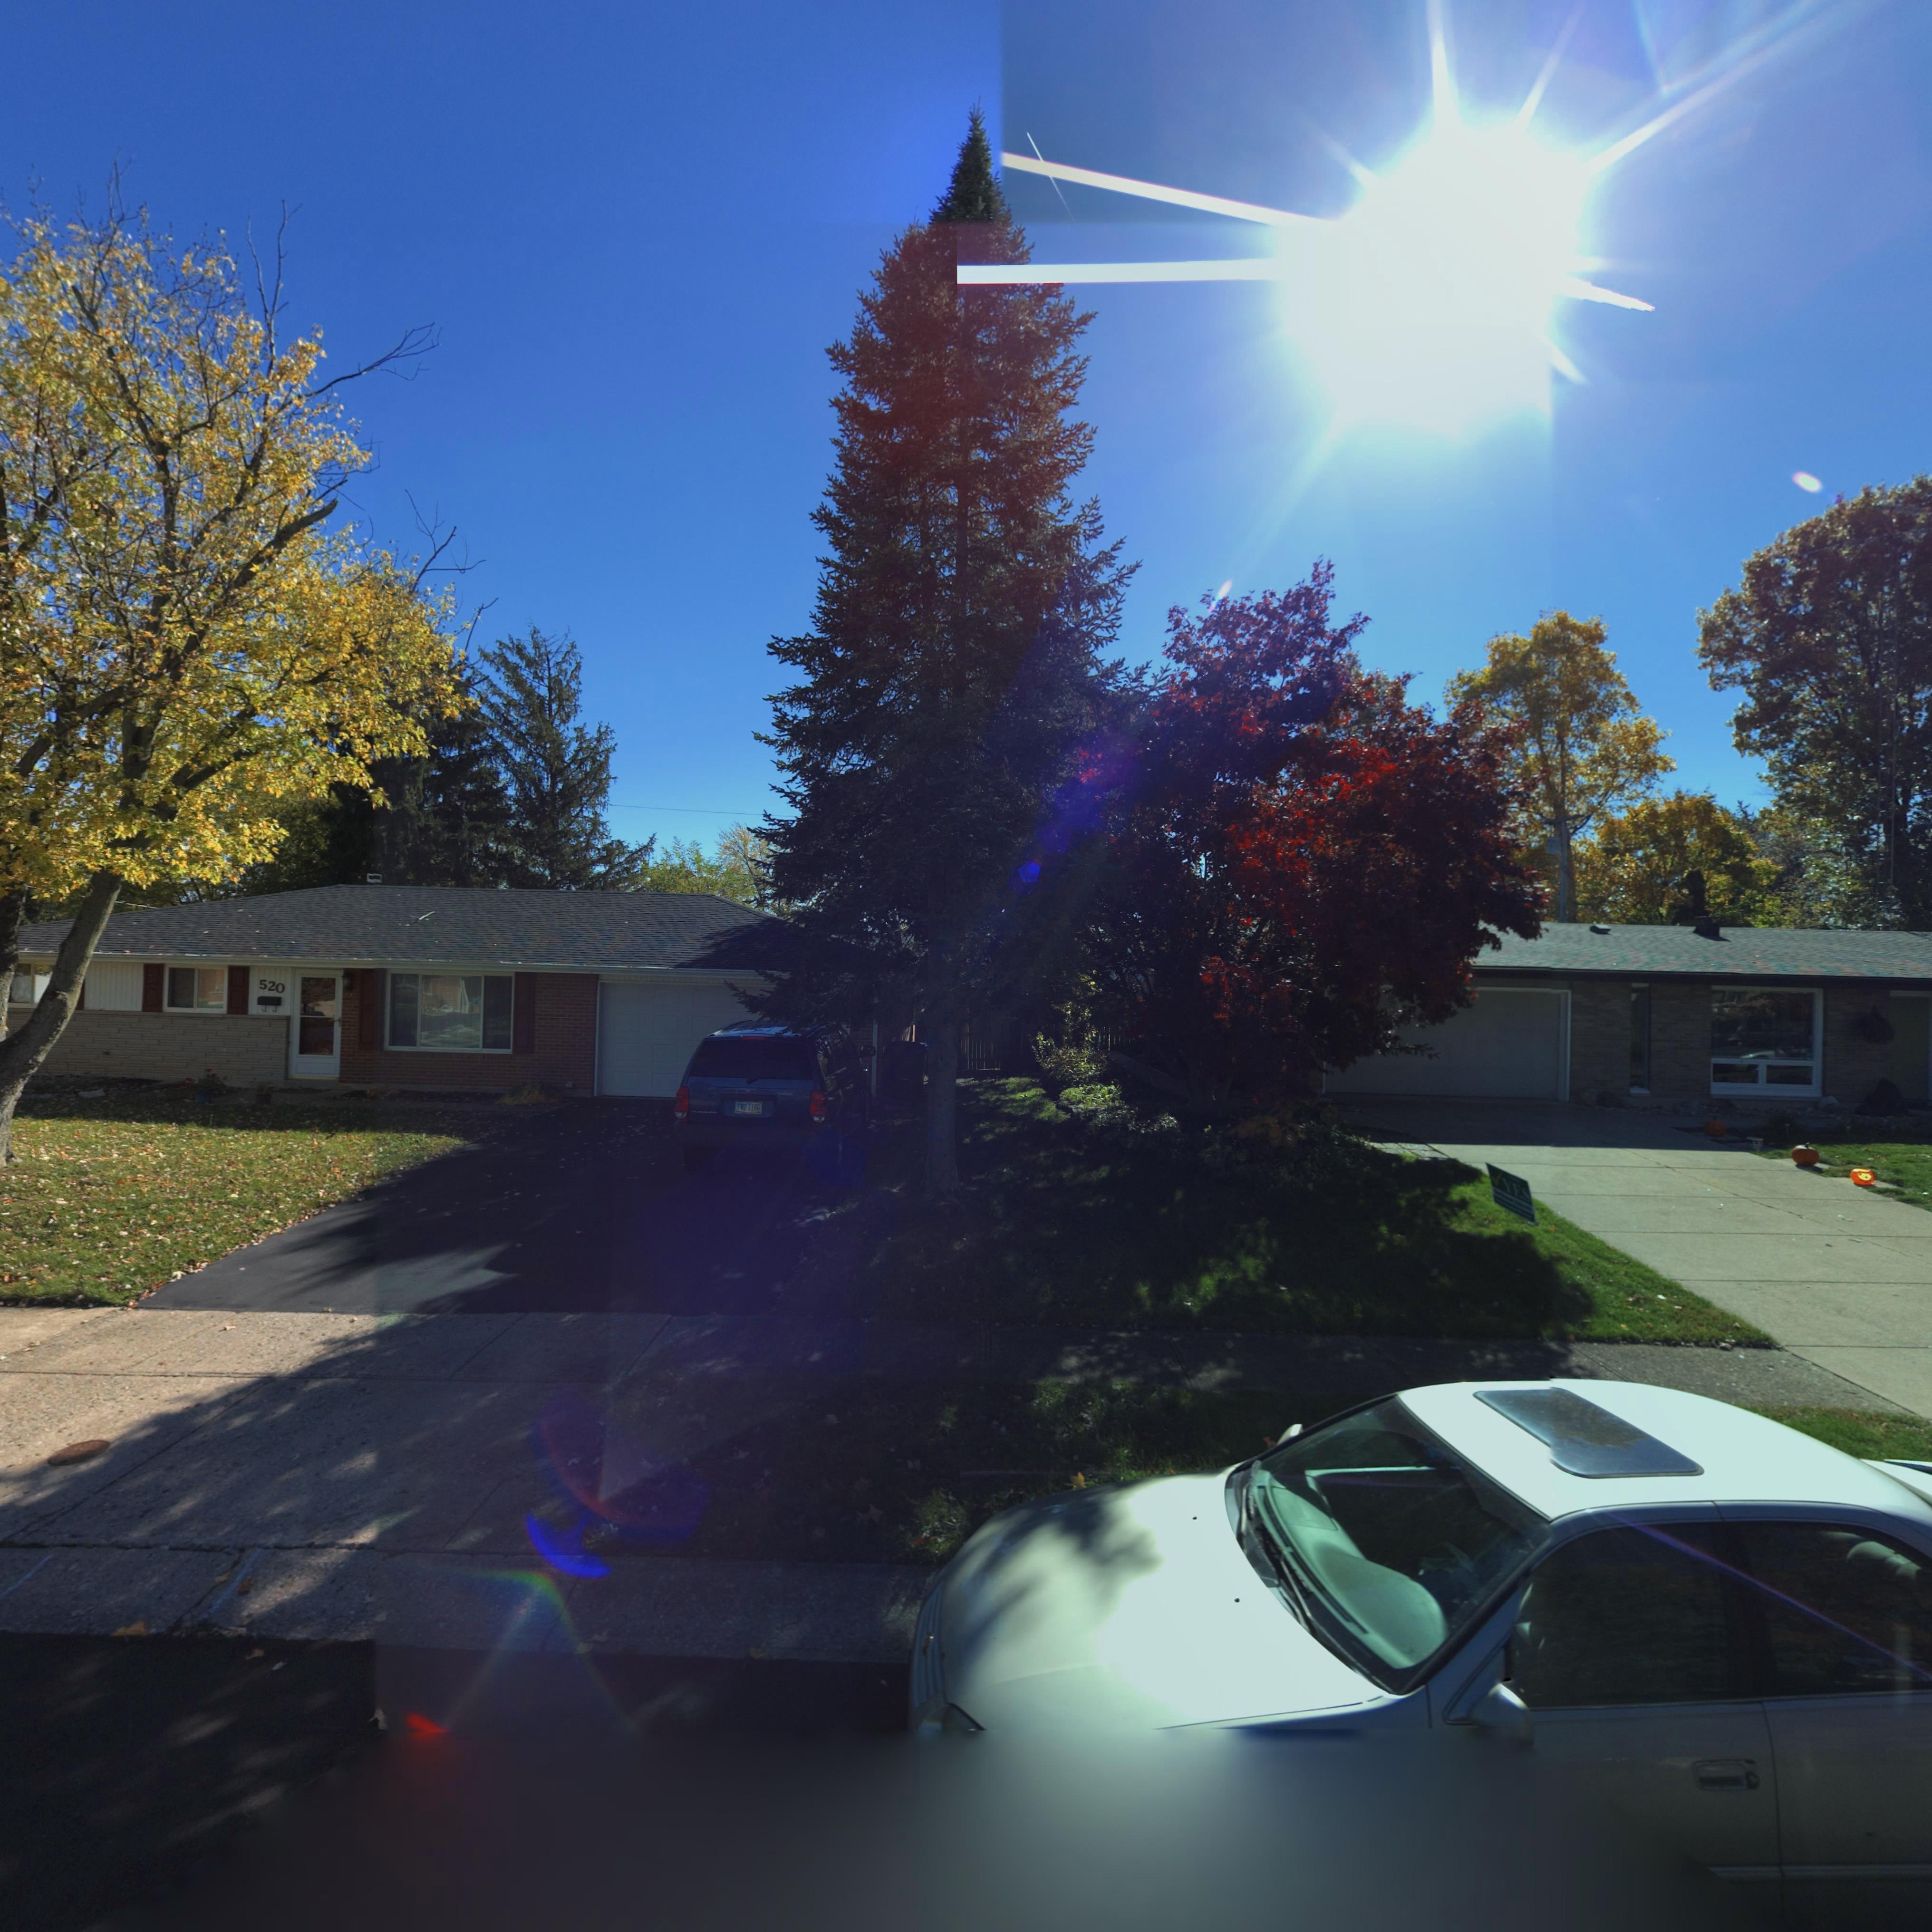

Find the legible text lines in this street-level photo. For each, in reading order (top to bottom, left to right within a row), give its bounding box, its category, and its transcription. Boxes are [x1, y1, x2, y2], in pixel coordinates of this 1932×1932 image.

[259, 979, 286, 994] StreetNumber: 520